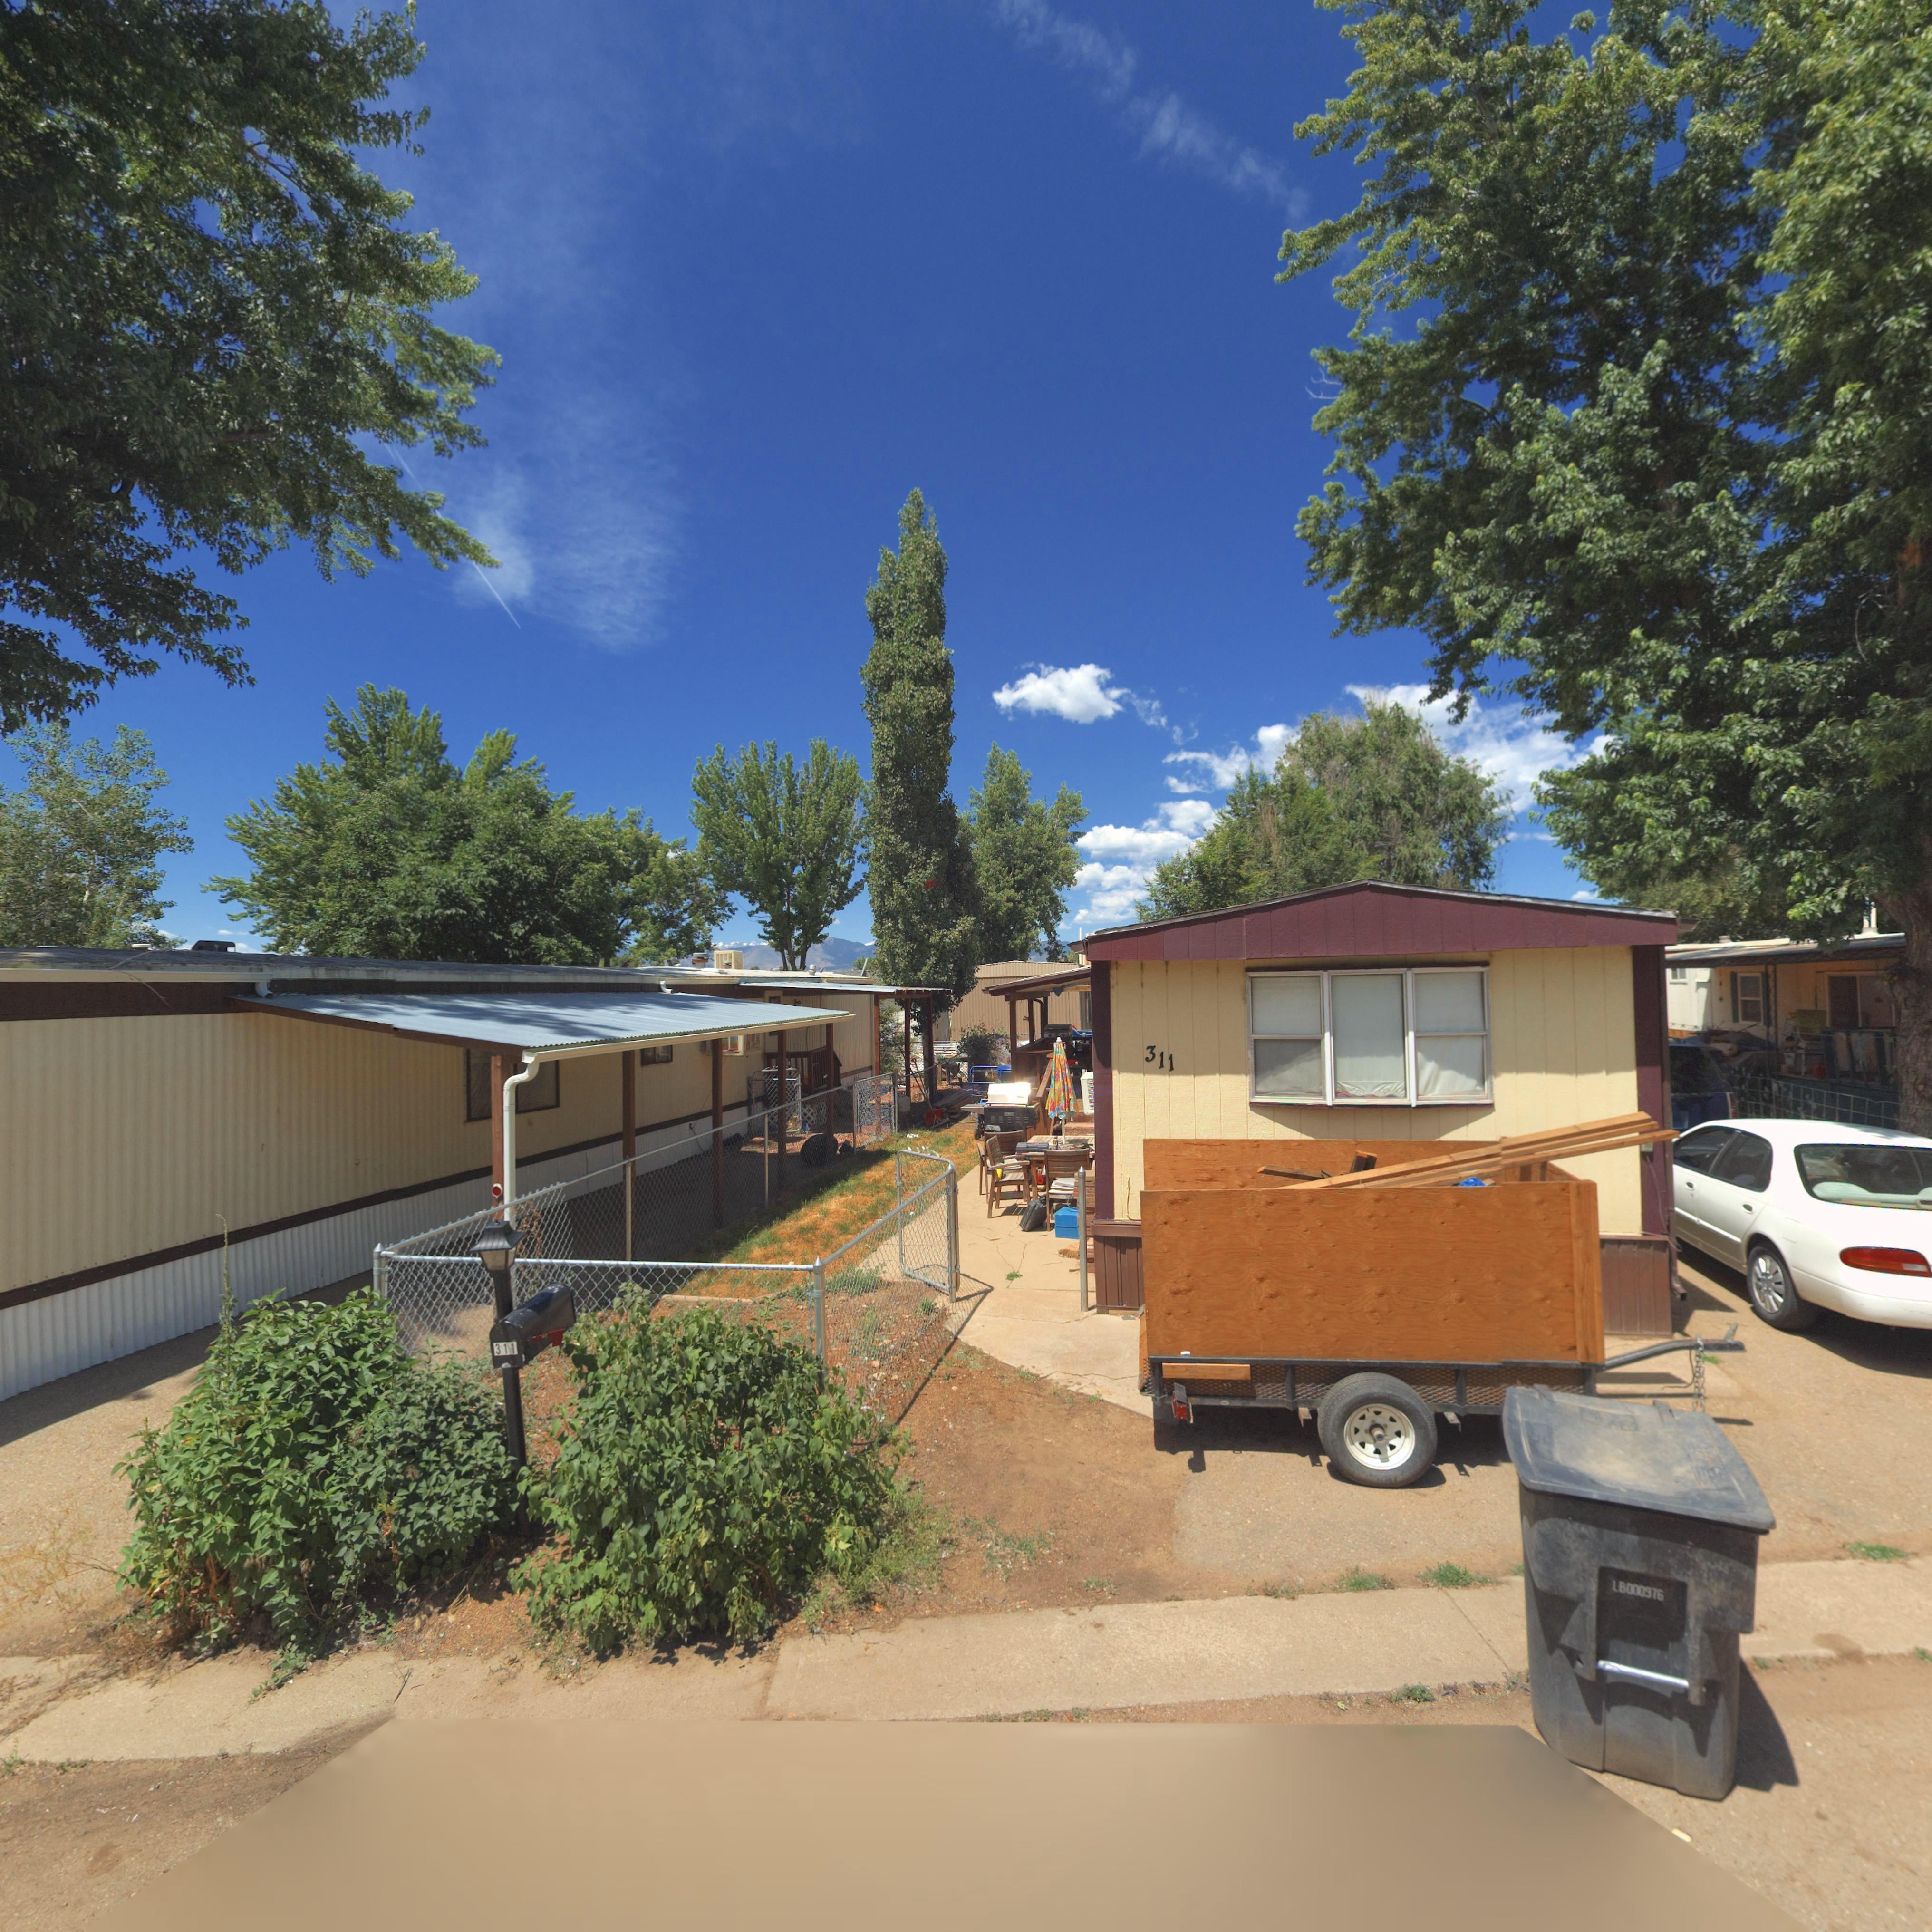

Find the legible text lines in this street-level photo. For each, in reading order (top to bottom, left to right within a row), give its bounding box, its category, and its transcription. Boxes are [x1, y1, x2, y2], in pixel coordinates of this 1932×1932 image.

[1141, 1044, 1176, 1074] StreetNumber: 311
[494, 1343, 516, 1354] StreetNumber: 311